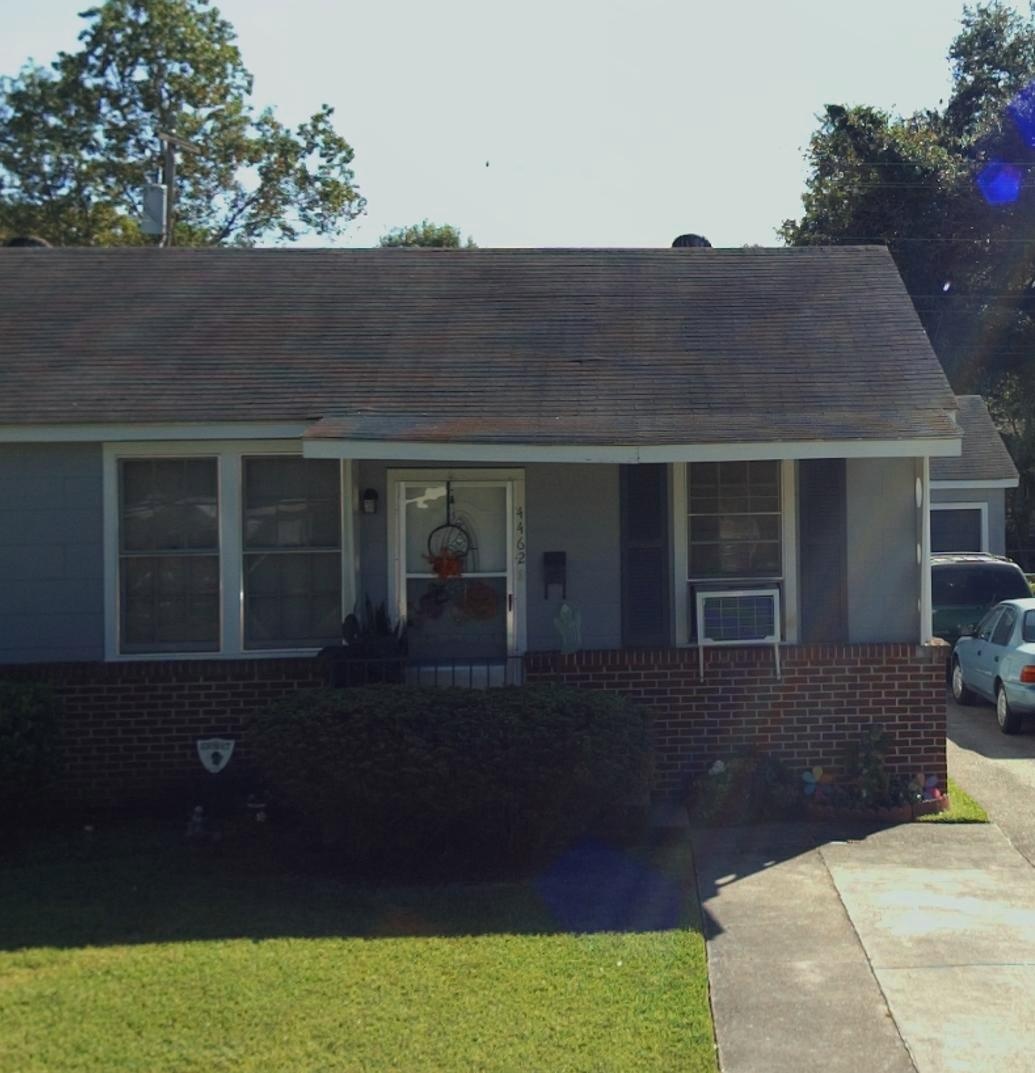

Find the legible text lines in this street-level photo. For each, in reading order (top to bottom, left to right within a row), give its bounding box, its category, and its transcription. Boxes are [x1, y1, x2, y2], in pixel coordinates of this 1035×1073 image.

[514, 504, 526, 565] StreetNumber: 4462
[199, 741, 232, 750] None: C****T